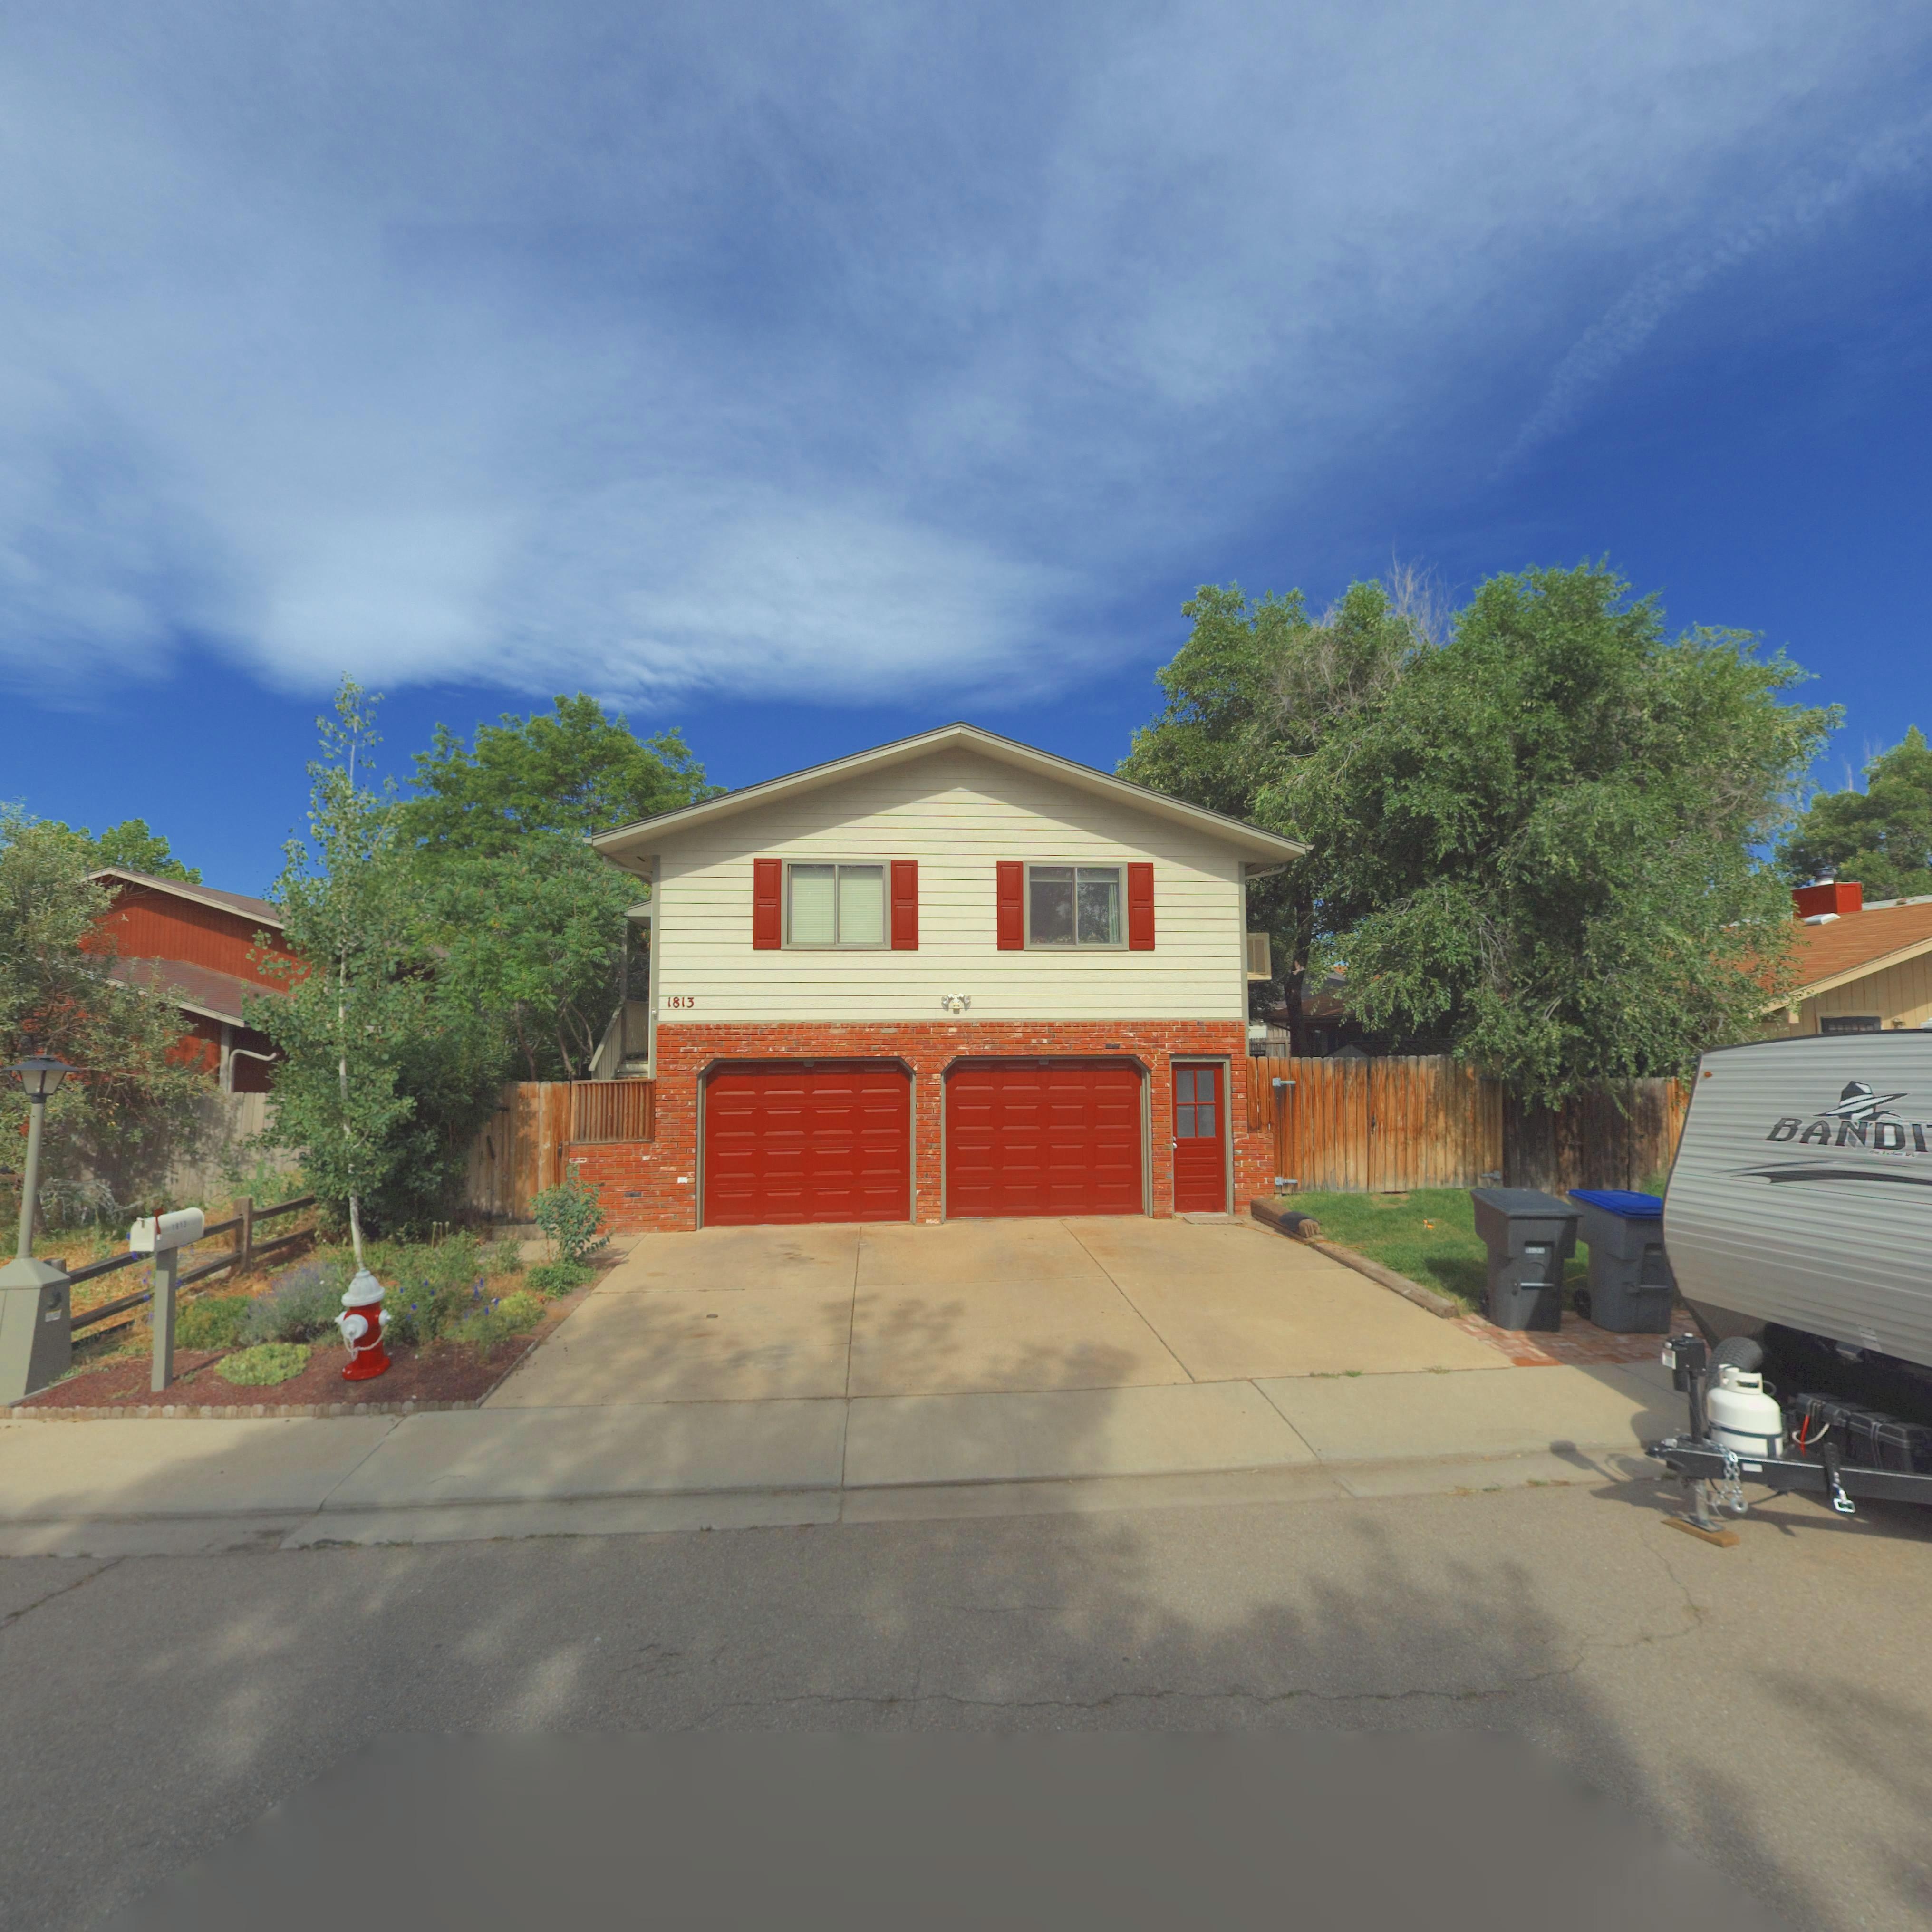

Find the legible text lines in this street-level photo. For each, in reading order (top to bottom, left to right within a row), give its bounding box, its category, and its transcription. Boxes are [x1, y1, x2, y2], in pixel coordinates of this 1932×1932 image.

[667, 996, 695, 1008] StreetNumber: 1813
[171, 1219, 187, 1232] StreetNumber: 1813